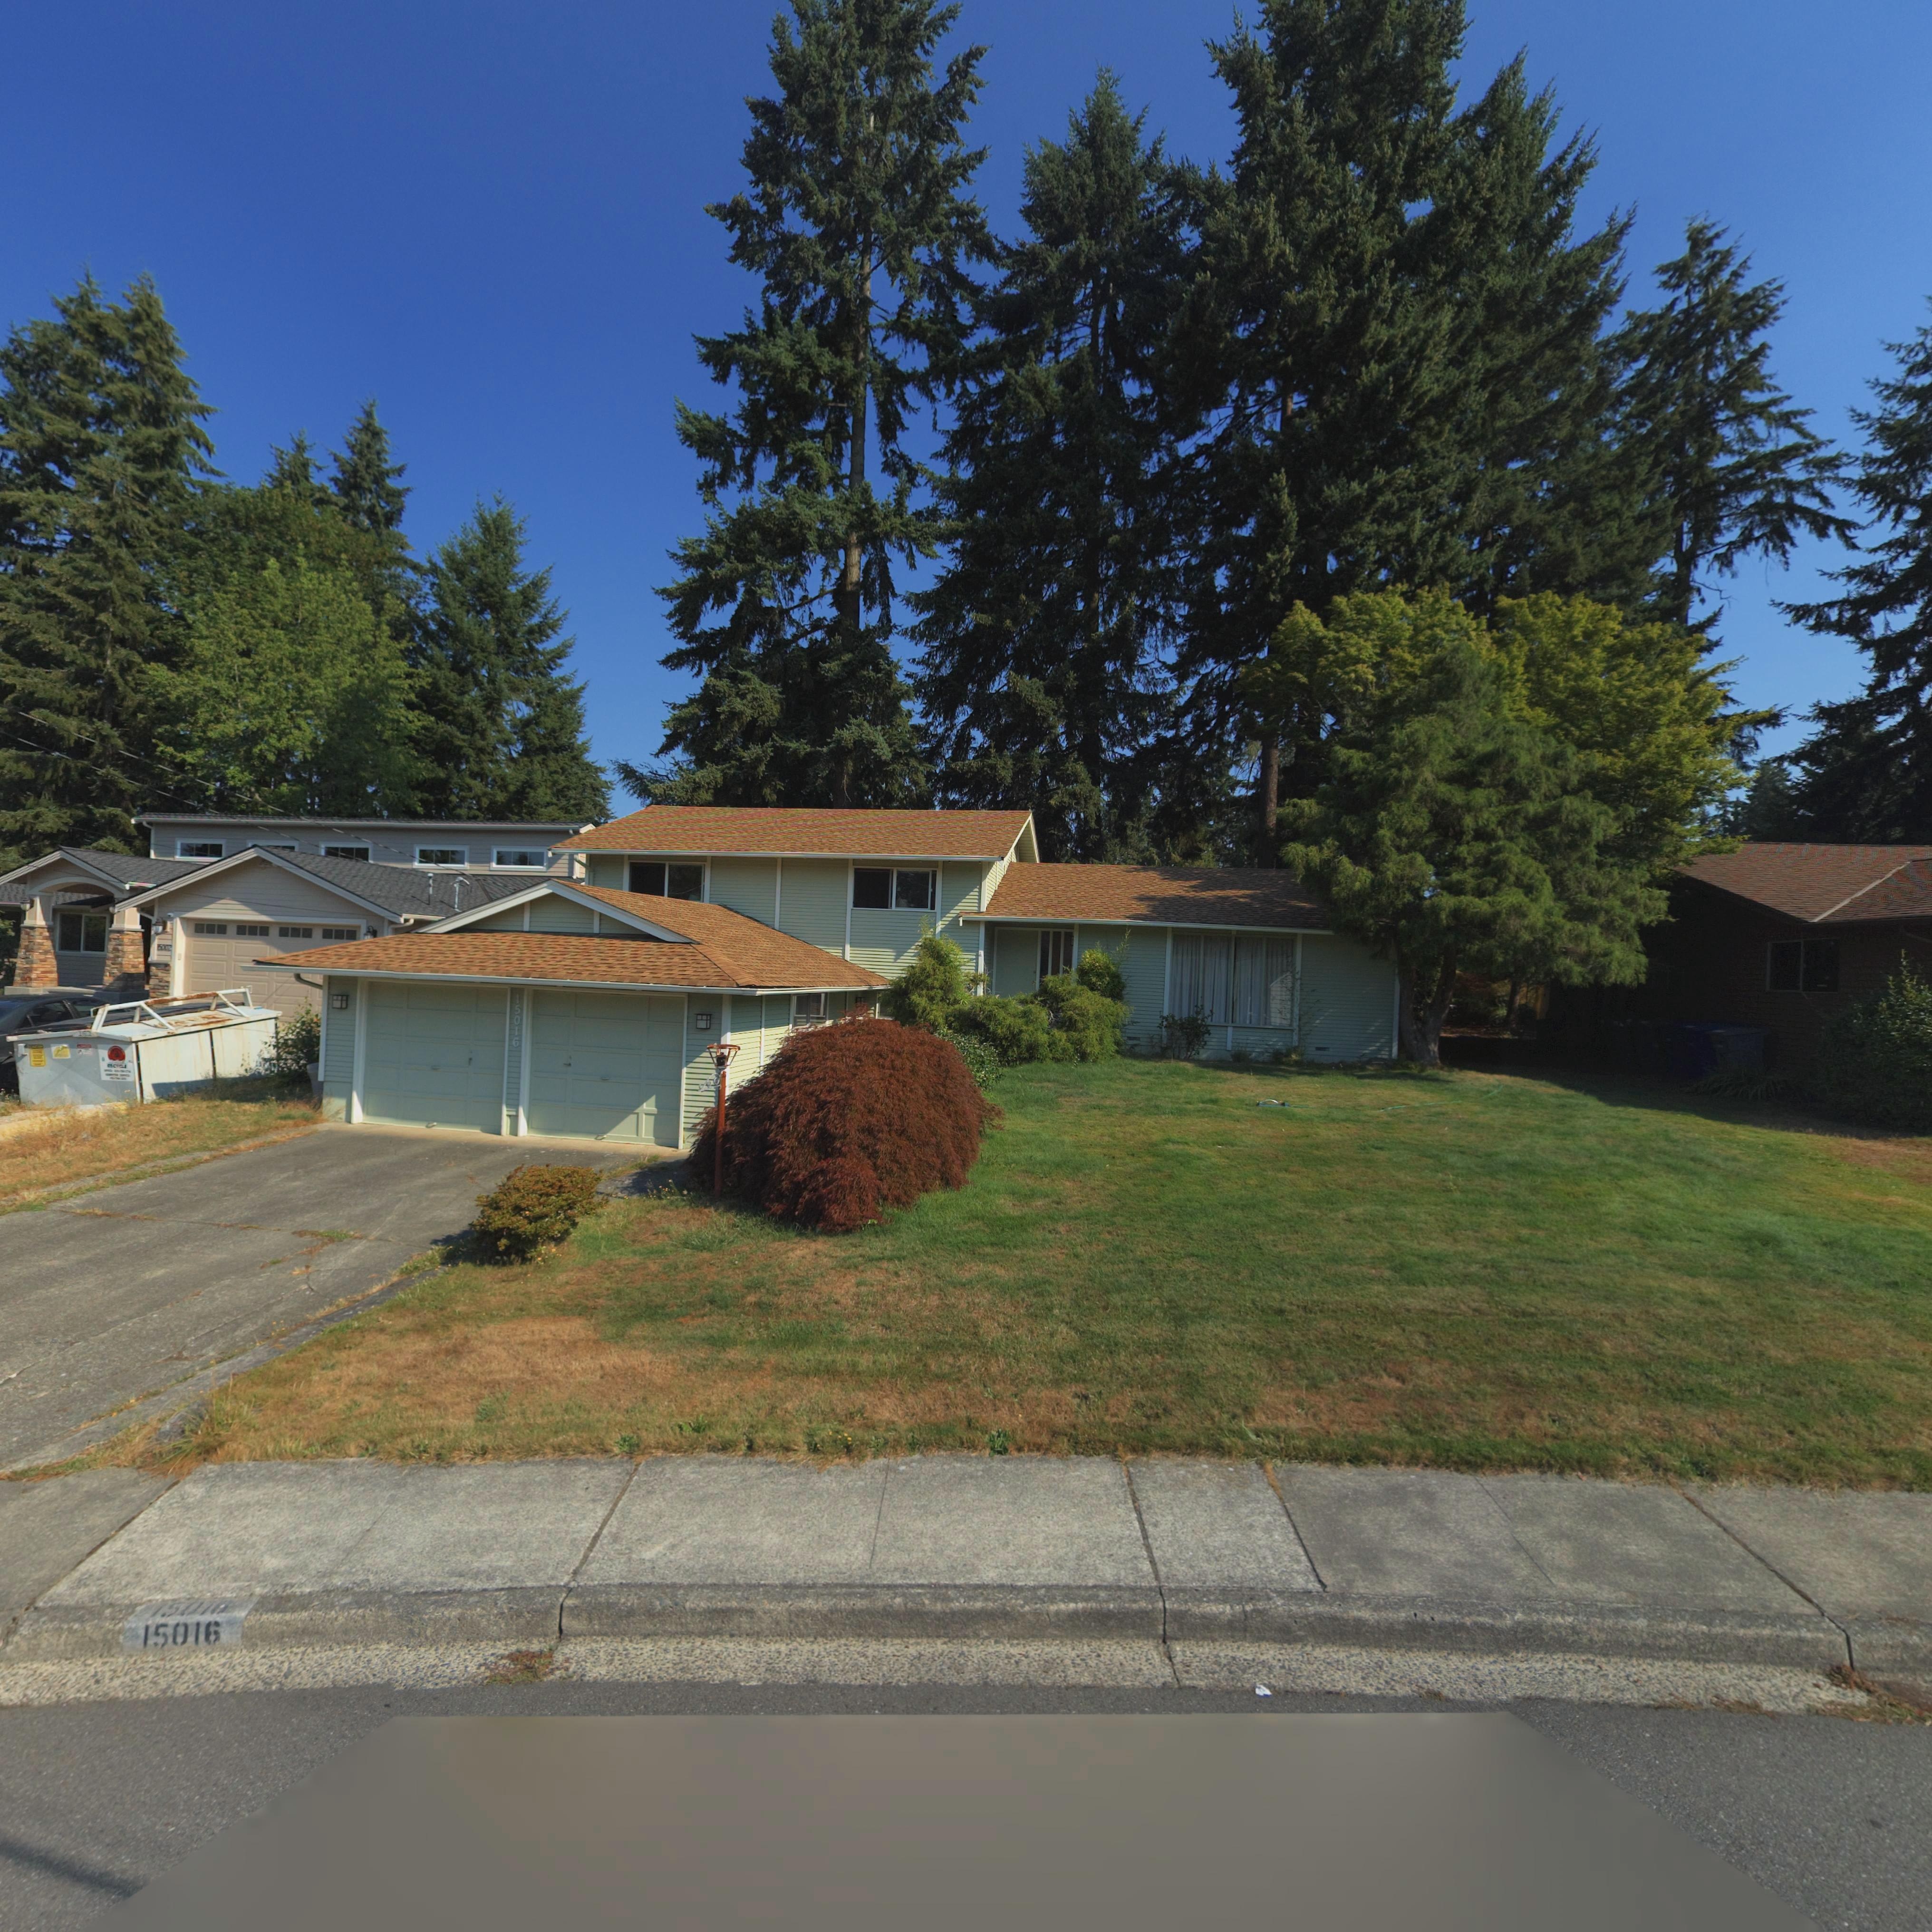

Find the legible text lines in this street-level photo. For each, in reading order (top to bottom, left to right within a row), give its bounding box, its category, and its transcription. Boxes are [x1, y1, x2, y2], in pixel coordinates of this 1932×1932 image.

[147, 1598, 234, 1619] None: 15016
[137, 1619, 223, 1647] StreetNumber: 15016